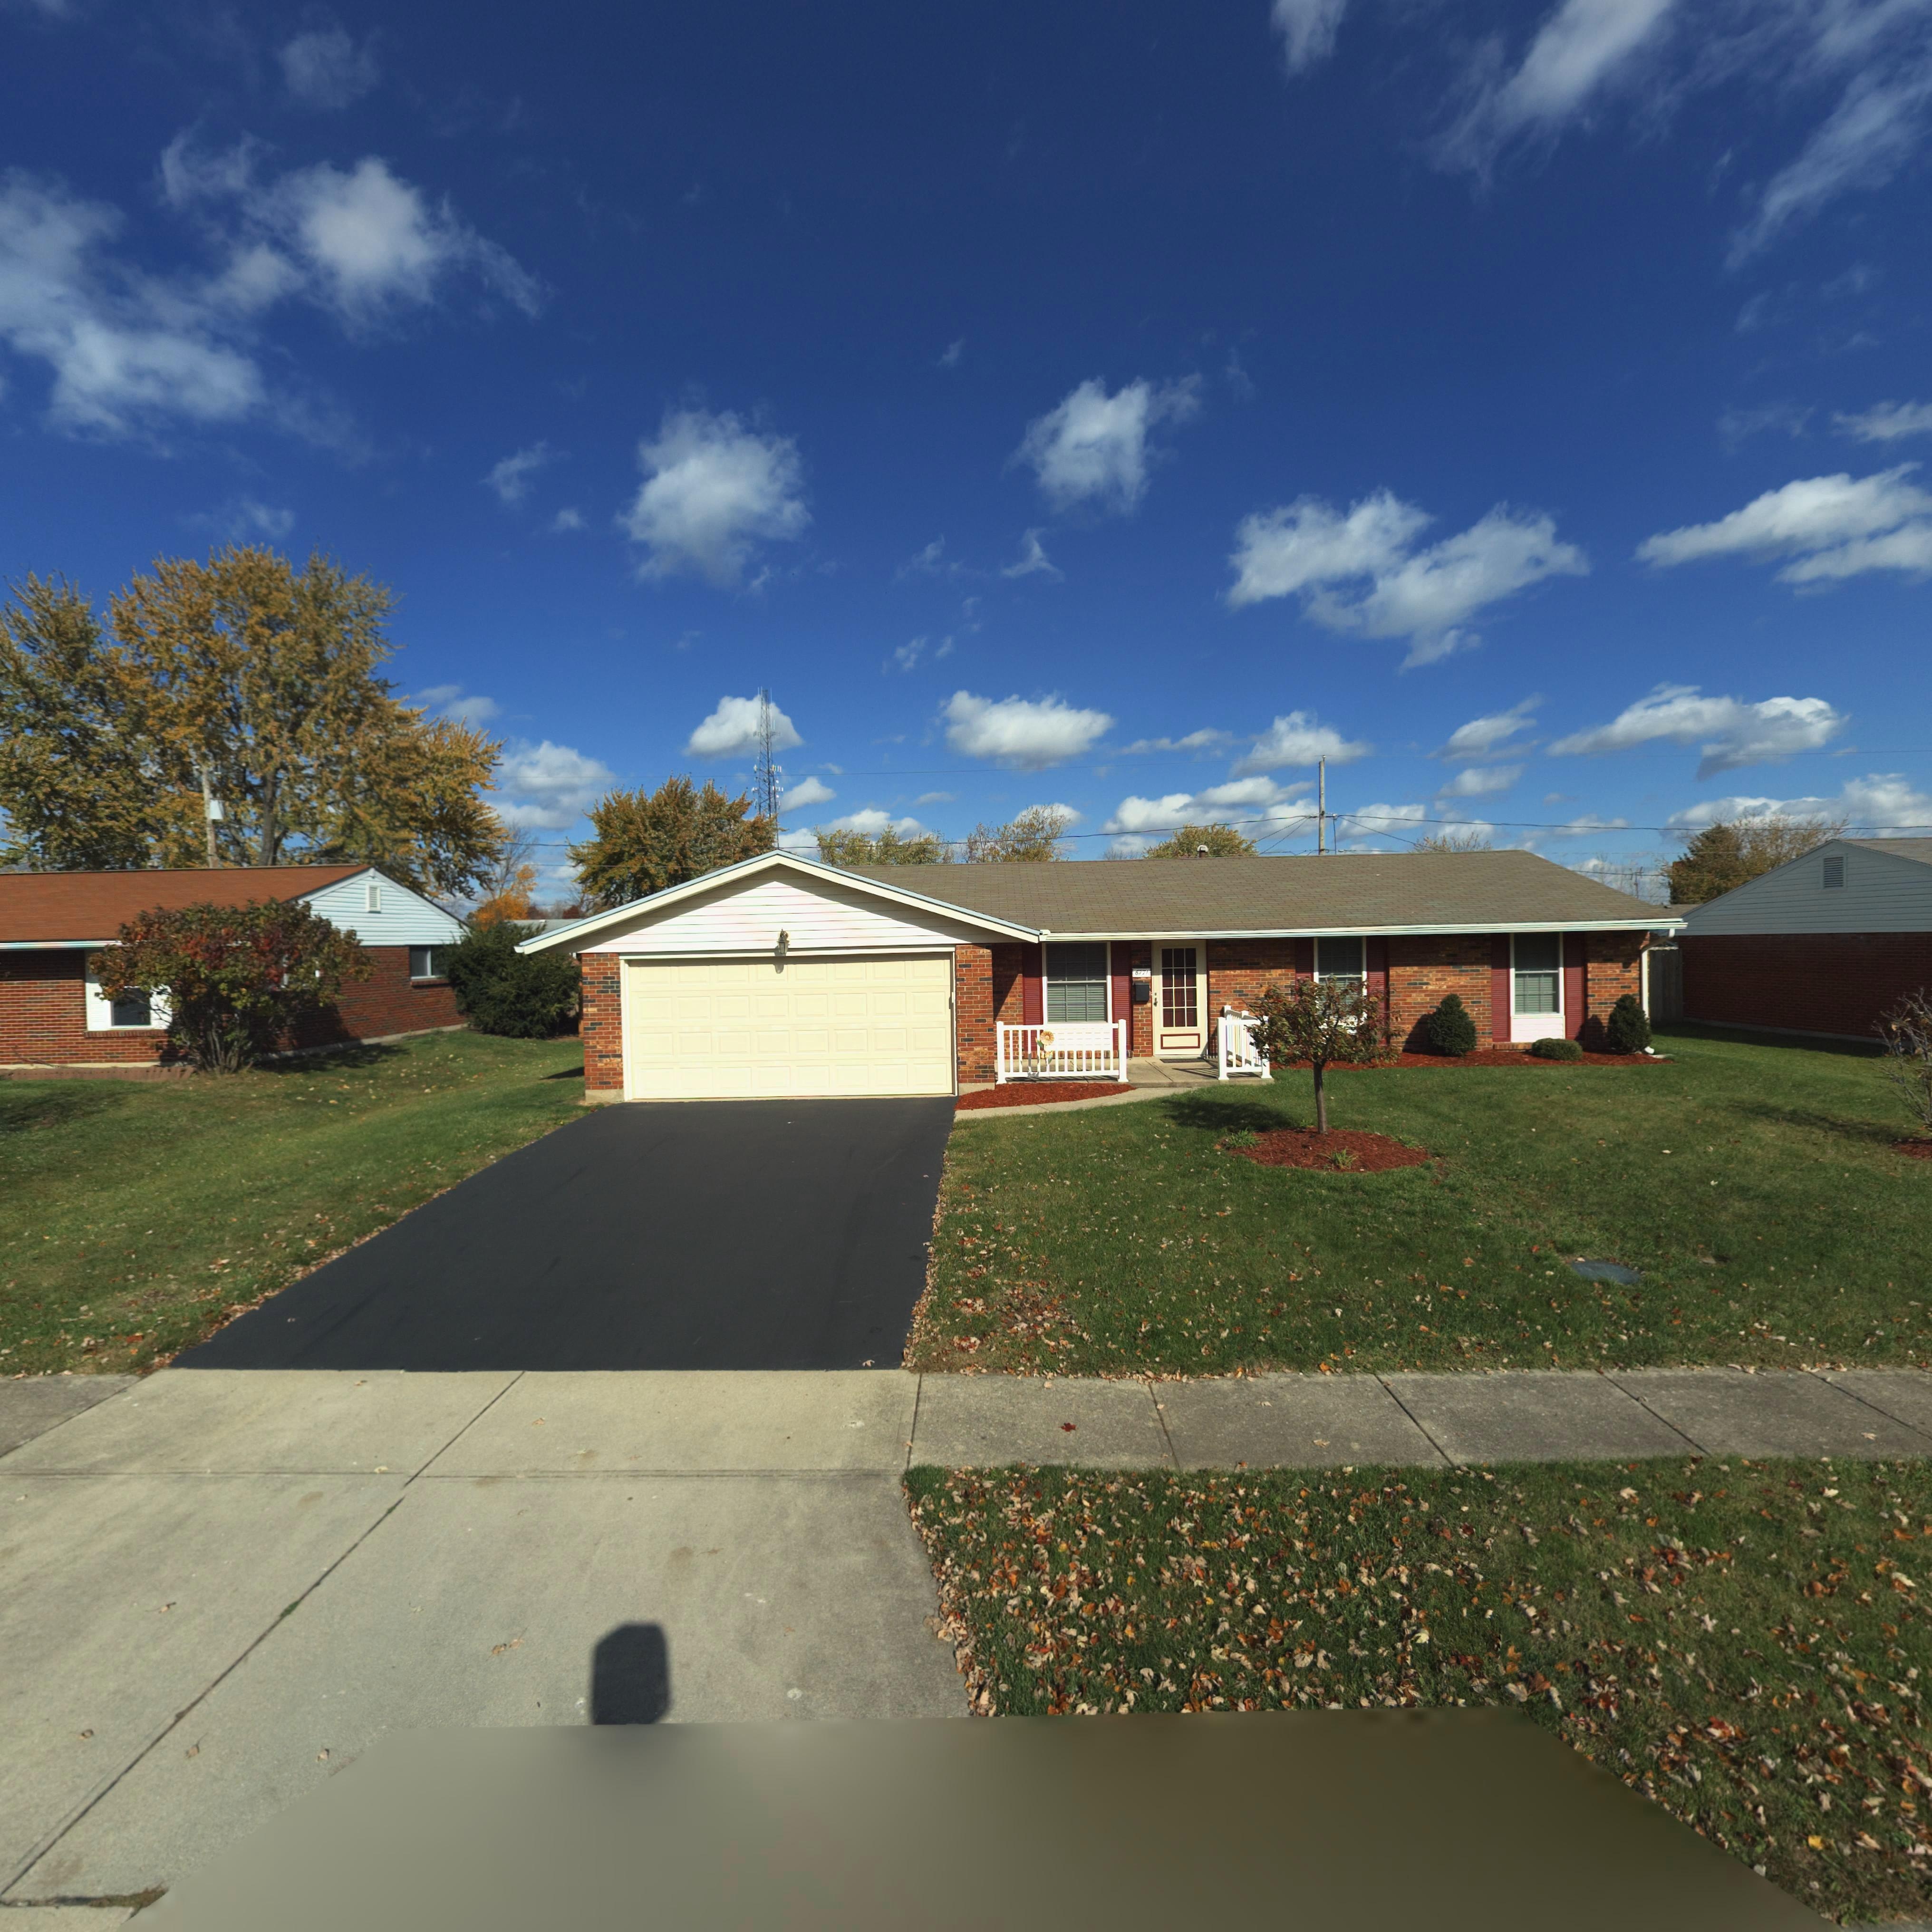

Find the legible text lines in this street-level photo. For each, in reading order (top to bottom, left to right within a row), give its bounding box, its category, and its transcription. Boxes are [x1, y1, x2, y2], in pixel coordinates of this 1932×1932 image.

[1135, 969, 1149, 976] StreetNumber: 6771